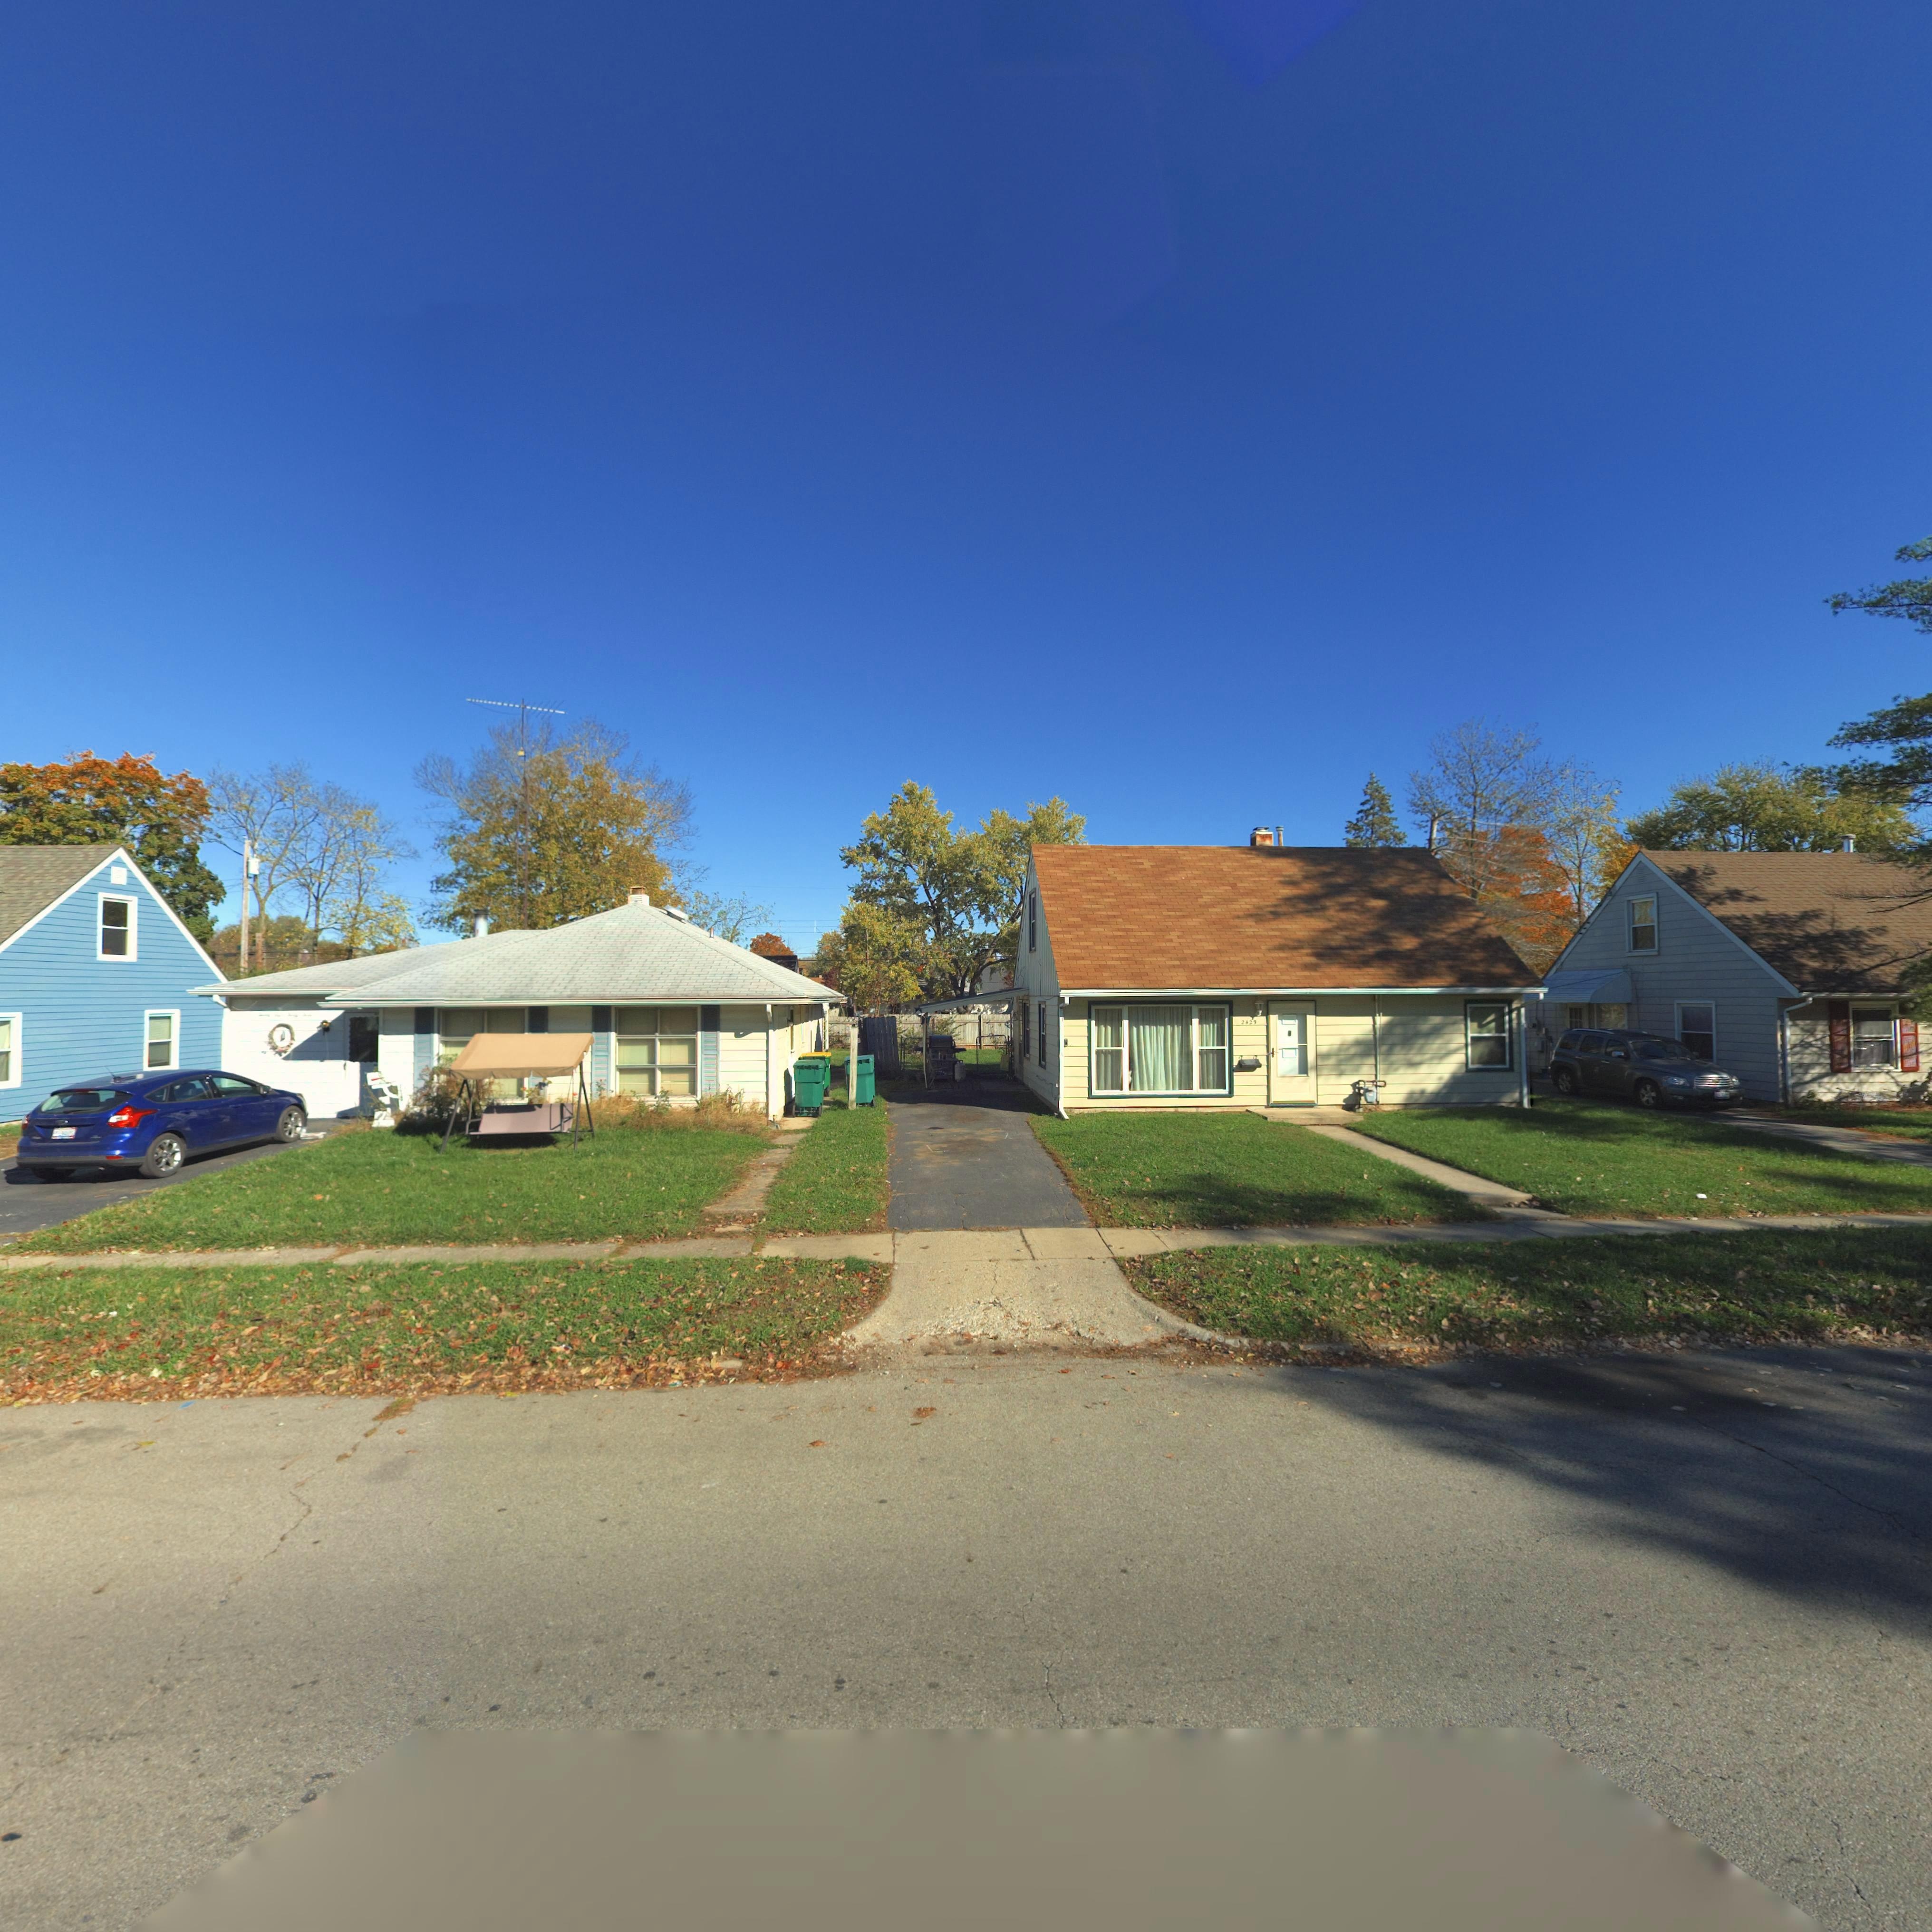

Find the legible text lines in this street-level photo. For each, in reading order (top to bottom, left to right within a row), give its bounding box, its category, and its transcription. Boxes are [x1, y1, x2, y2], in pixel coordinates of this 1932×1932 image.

[1240, 1019, 1257, 1025] StreetNumber: 2429